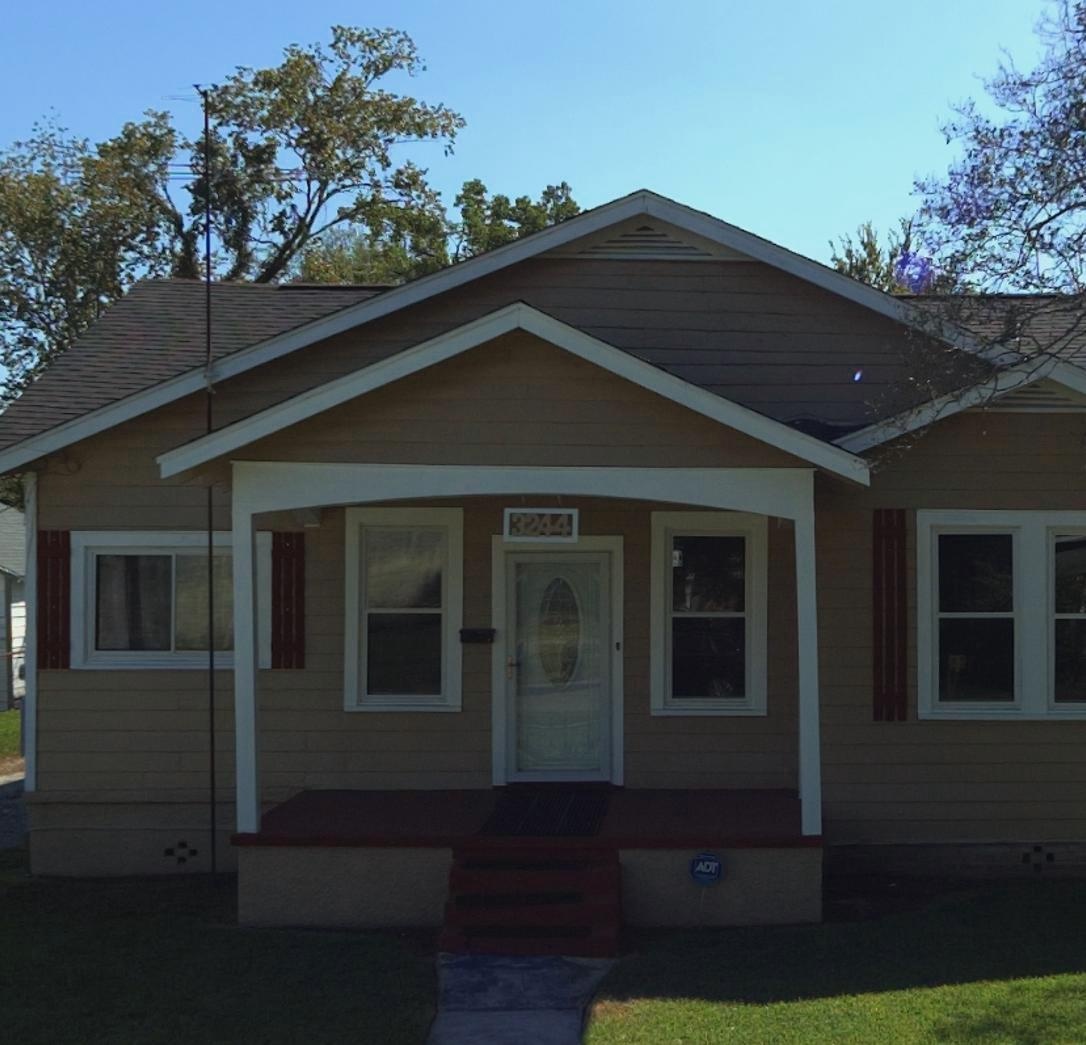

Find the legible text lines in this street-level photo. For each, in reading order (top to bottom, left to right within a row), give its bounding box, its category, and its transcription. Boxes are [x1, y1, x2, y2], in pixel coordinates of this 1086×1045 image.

[510, 513, 572, 538] StreetNumber: 3244
[692, 860, 720, 875] None: ADT